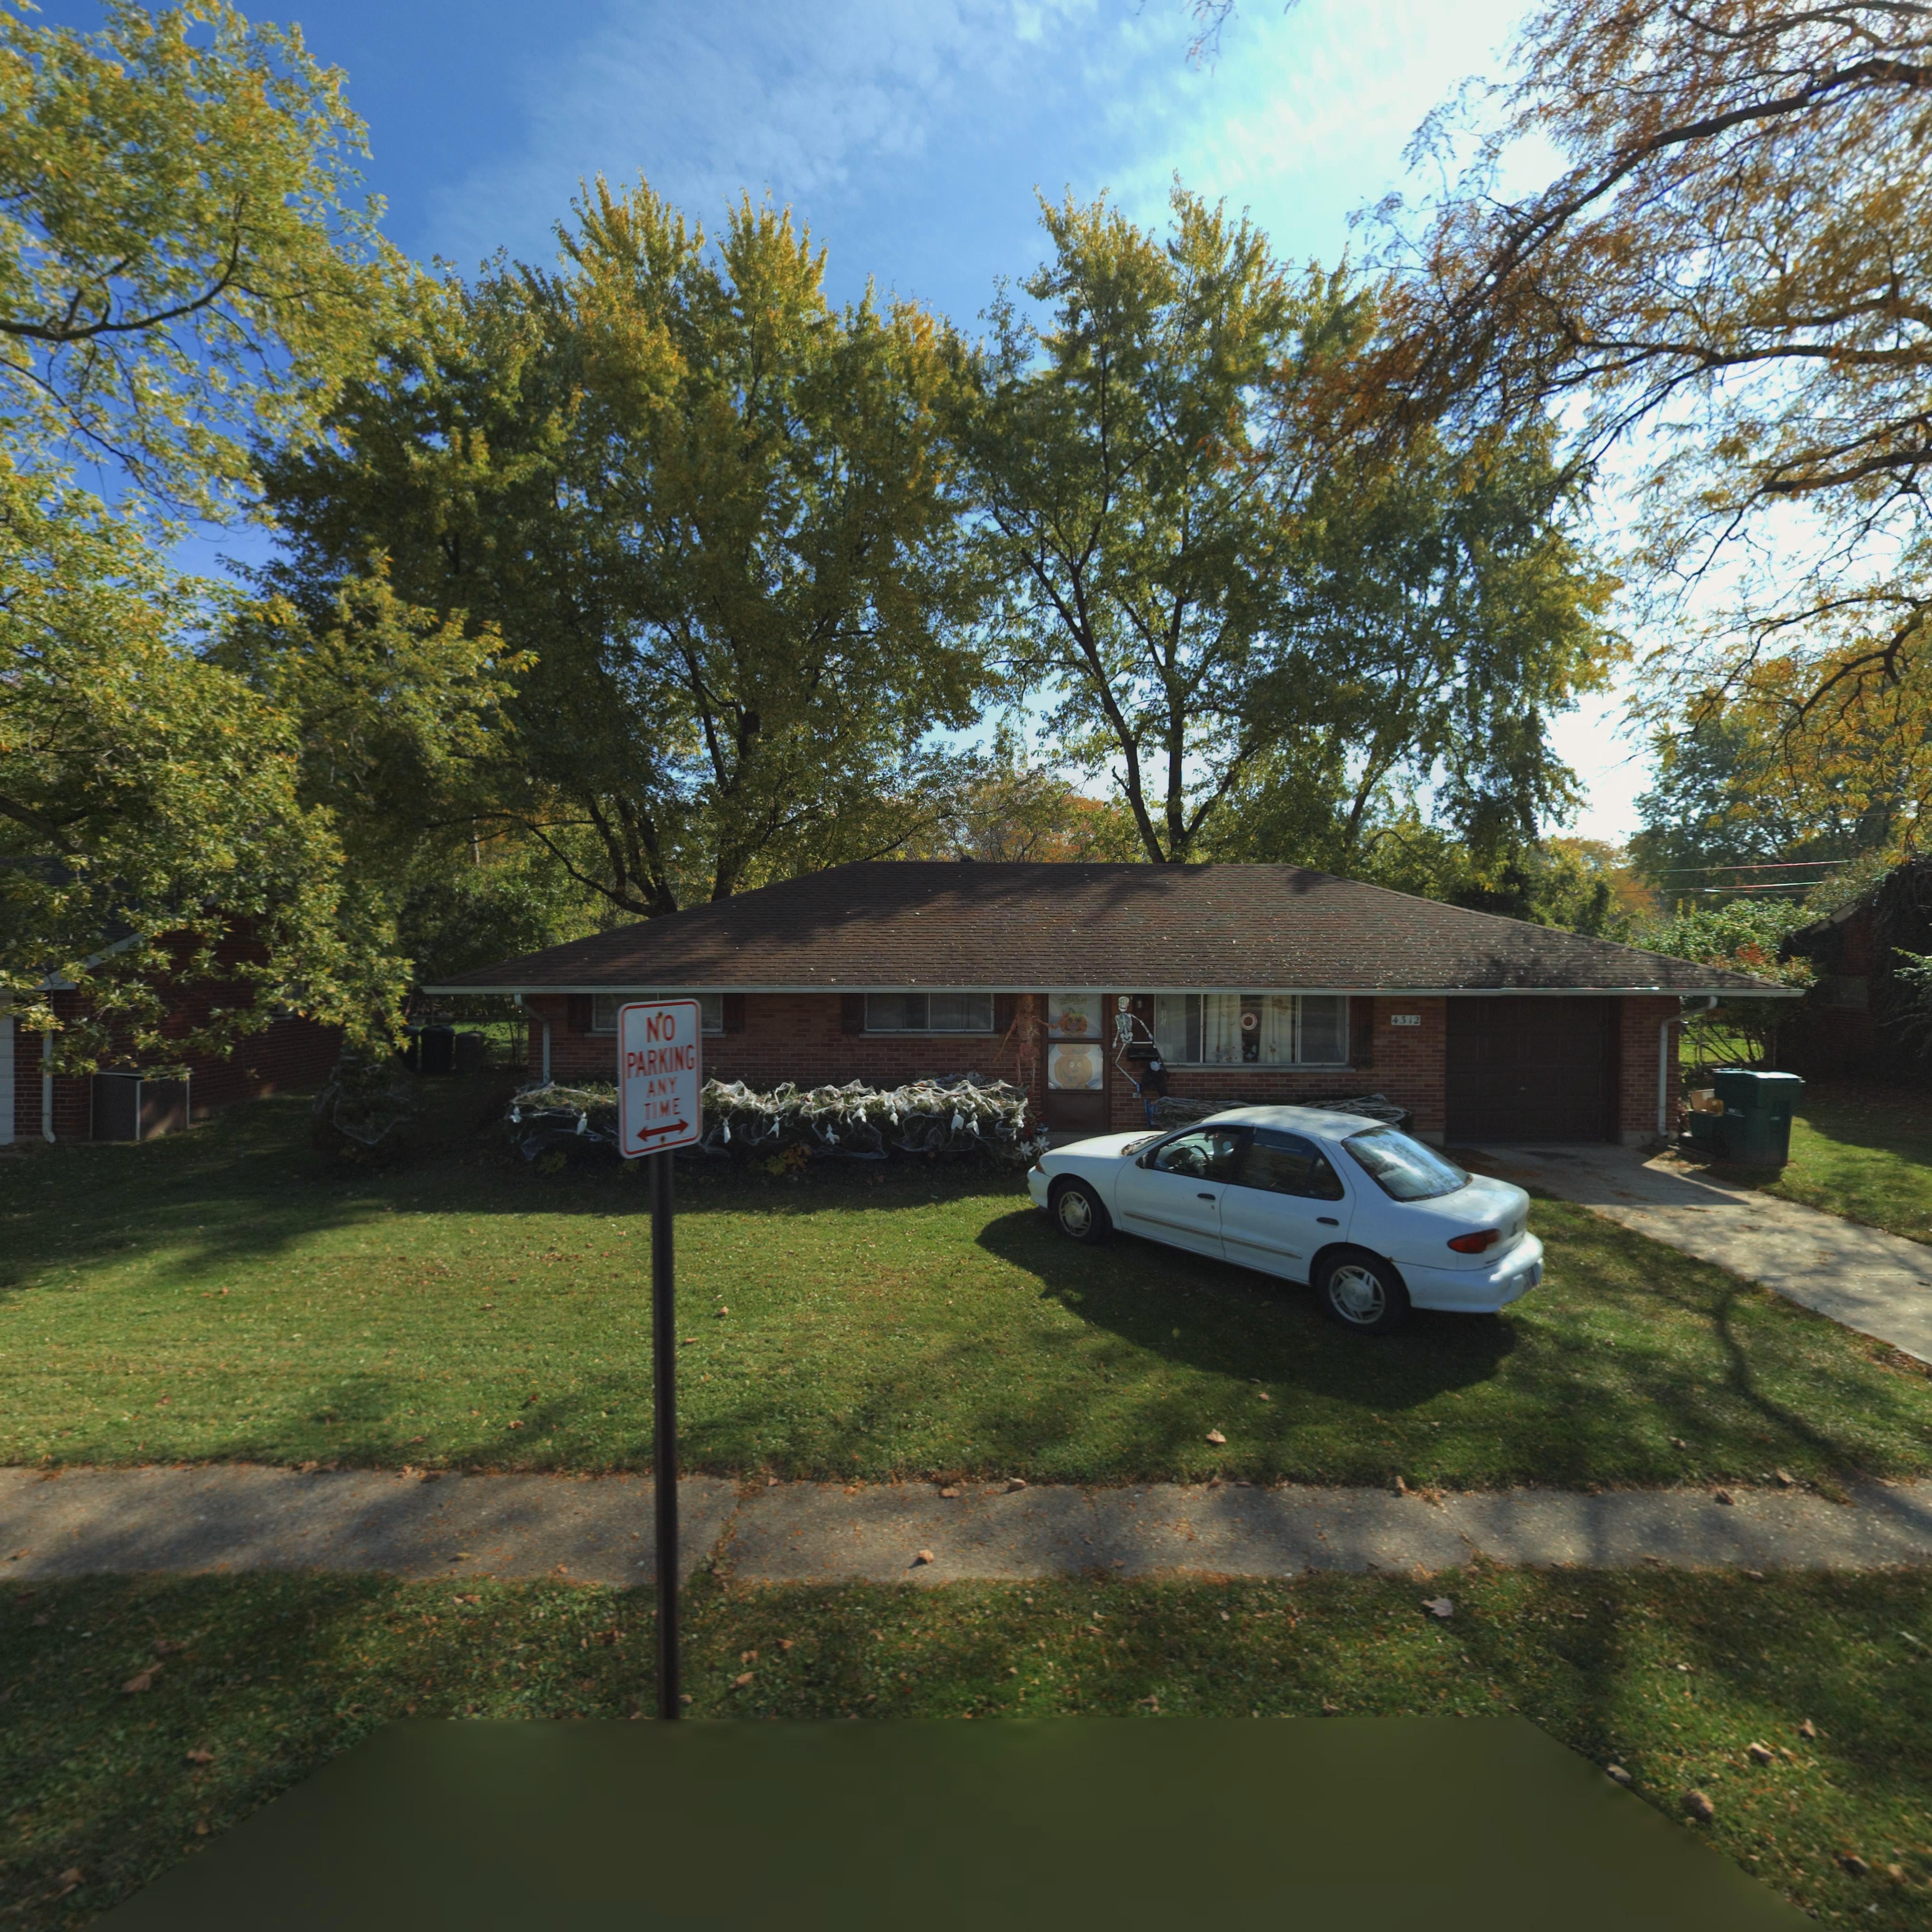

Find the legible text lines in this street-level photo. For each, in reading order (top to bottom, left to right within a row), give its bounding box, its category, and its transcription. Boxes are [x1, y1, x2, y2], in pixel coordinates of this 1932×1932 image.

[1391, 1014, 1420, 1025] StreetNumber: 4312